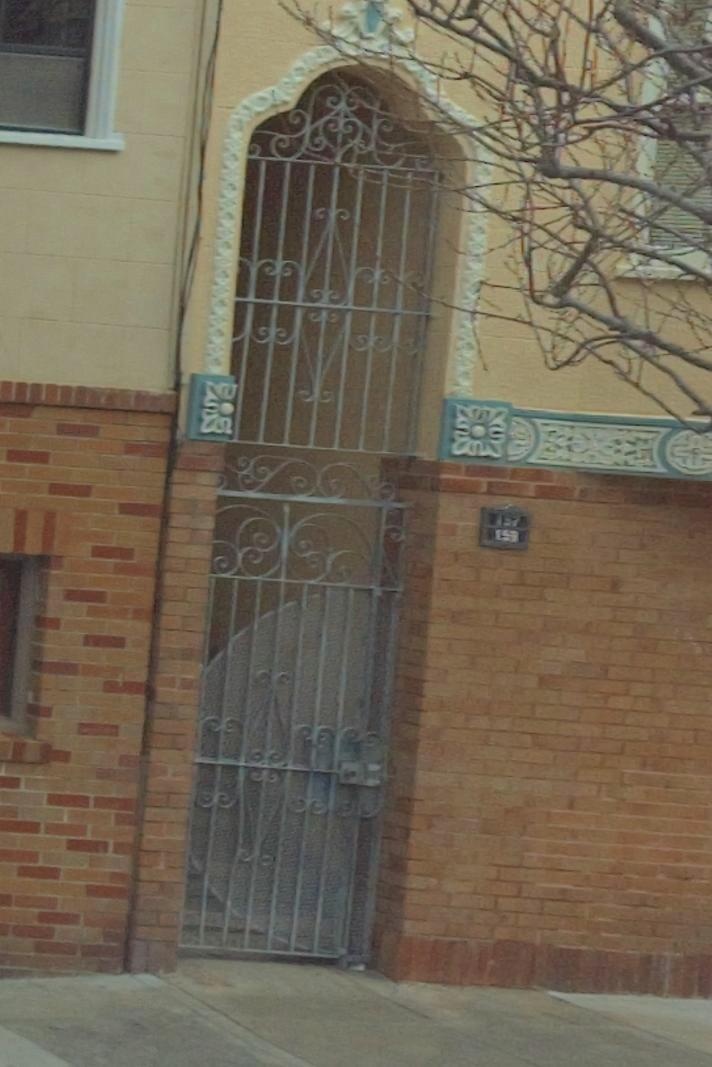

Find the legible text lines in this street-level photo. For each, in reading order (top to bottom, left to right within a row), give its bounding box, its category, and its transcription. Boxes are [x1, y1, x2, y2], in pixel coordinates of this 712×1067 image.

[495, 515, 521, 528] StreetNumber: 157
[494, 529, 521, 543] StreetNumber: 159